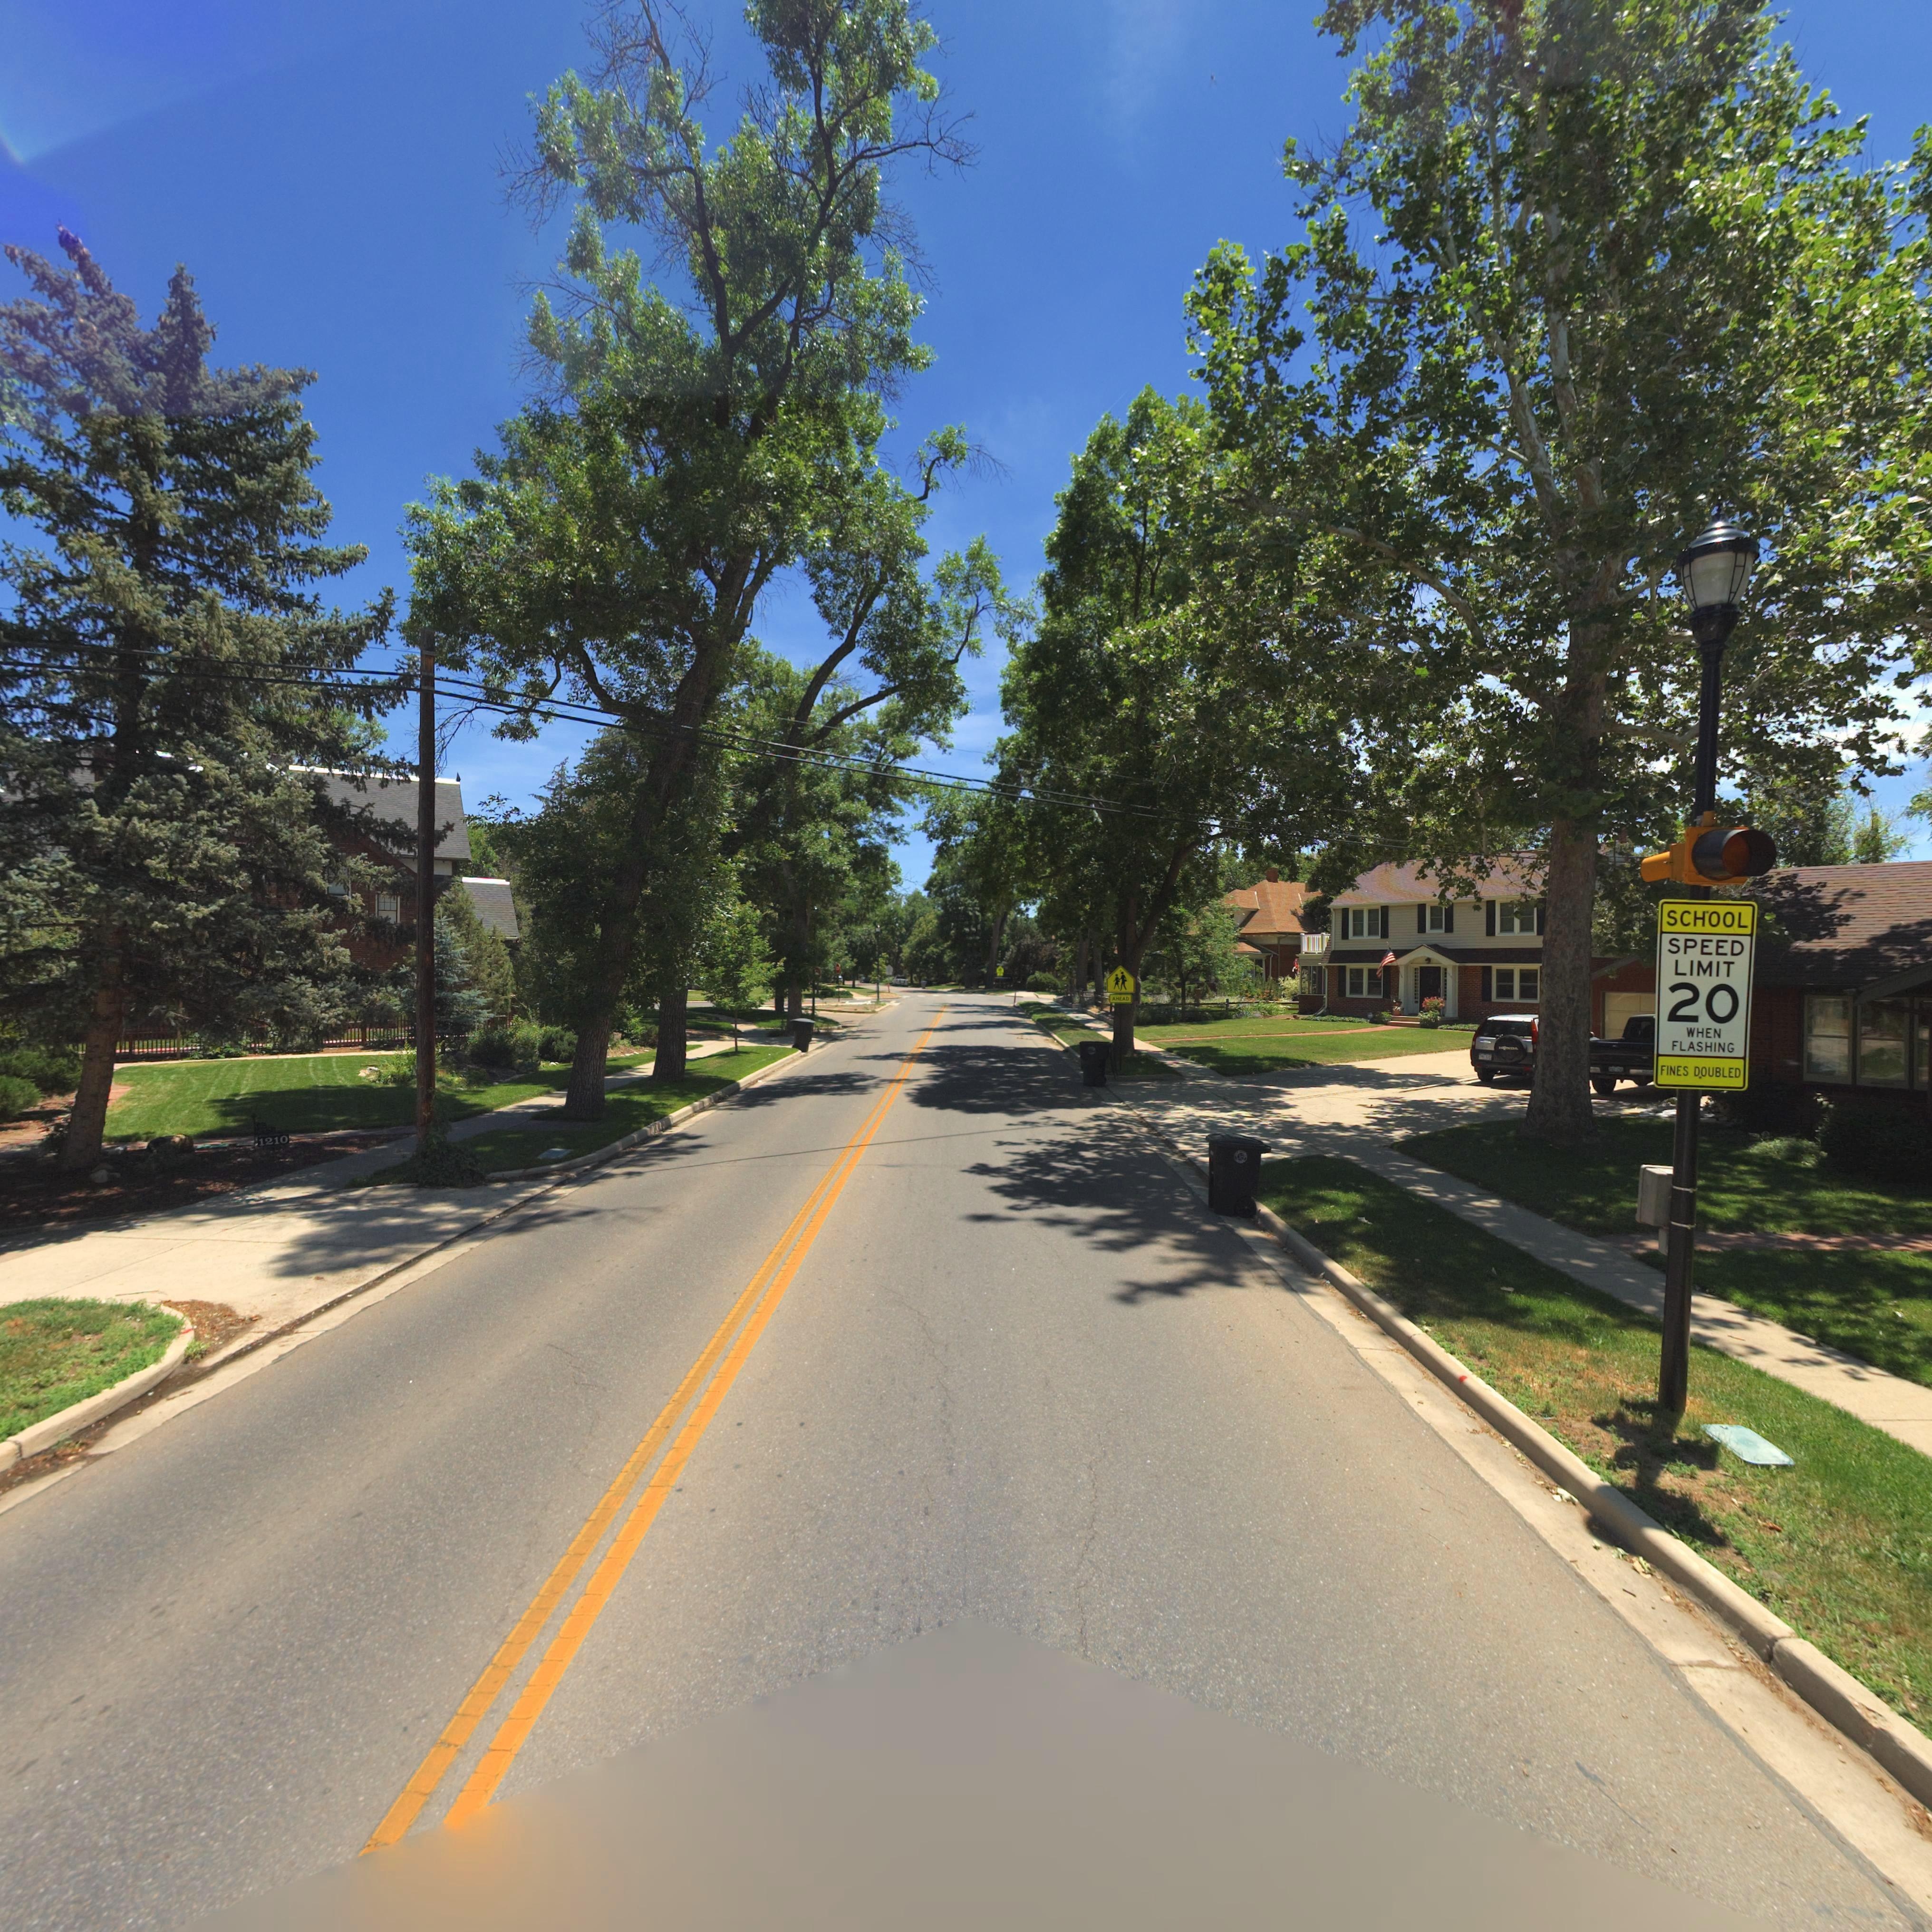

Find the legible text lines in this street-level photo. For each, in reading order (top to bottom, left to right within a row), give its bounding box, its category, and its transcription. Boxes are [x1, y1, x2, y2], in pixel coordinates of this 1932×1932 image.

[259, 1135, 288, 1146] StreetNumber: 1210